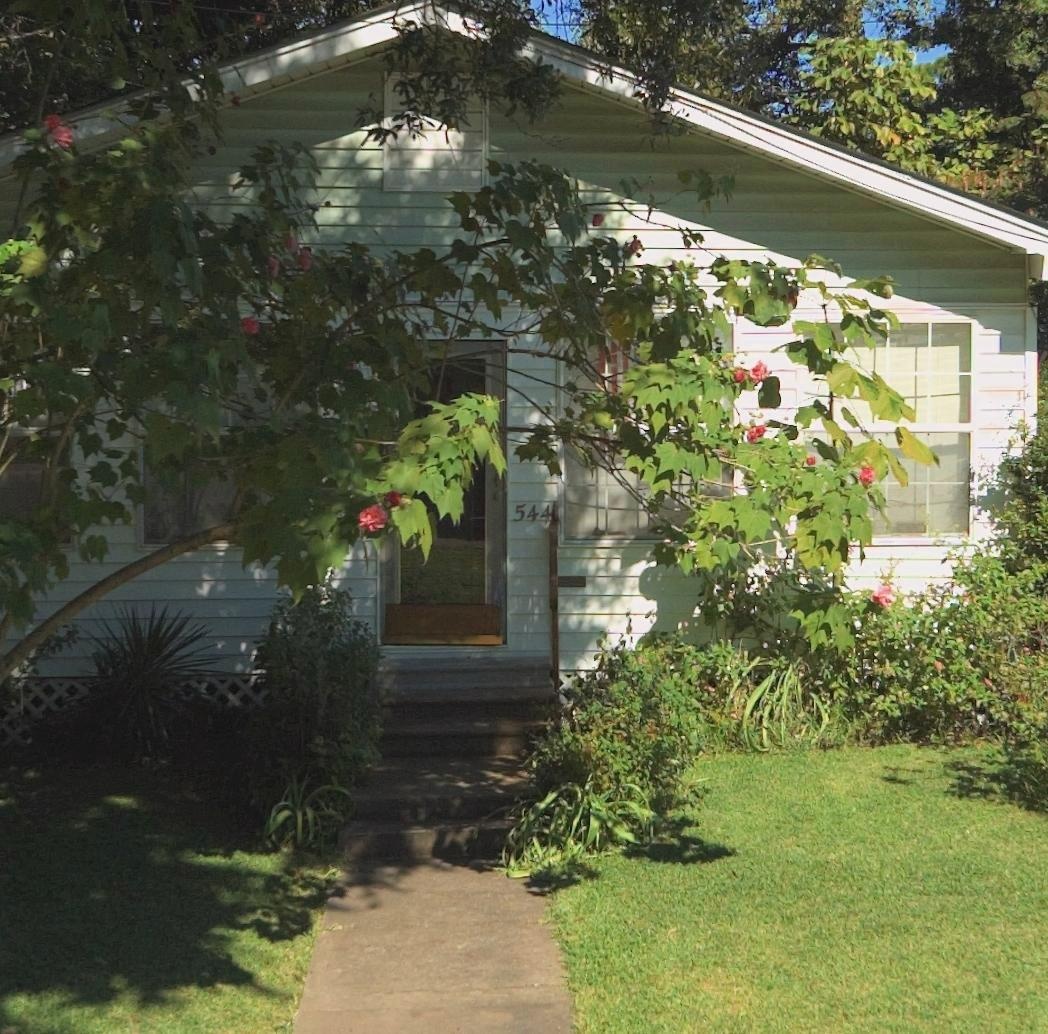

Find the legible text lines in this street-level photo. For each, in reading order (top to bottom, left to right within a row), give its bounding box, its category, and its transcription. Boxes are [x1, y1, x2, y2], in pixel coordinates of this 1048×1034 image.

[512, 503, 553, 523] StreetNumber: 544